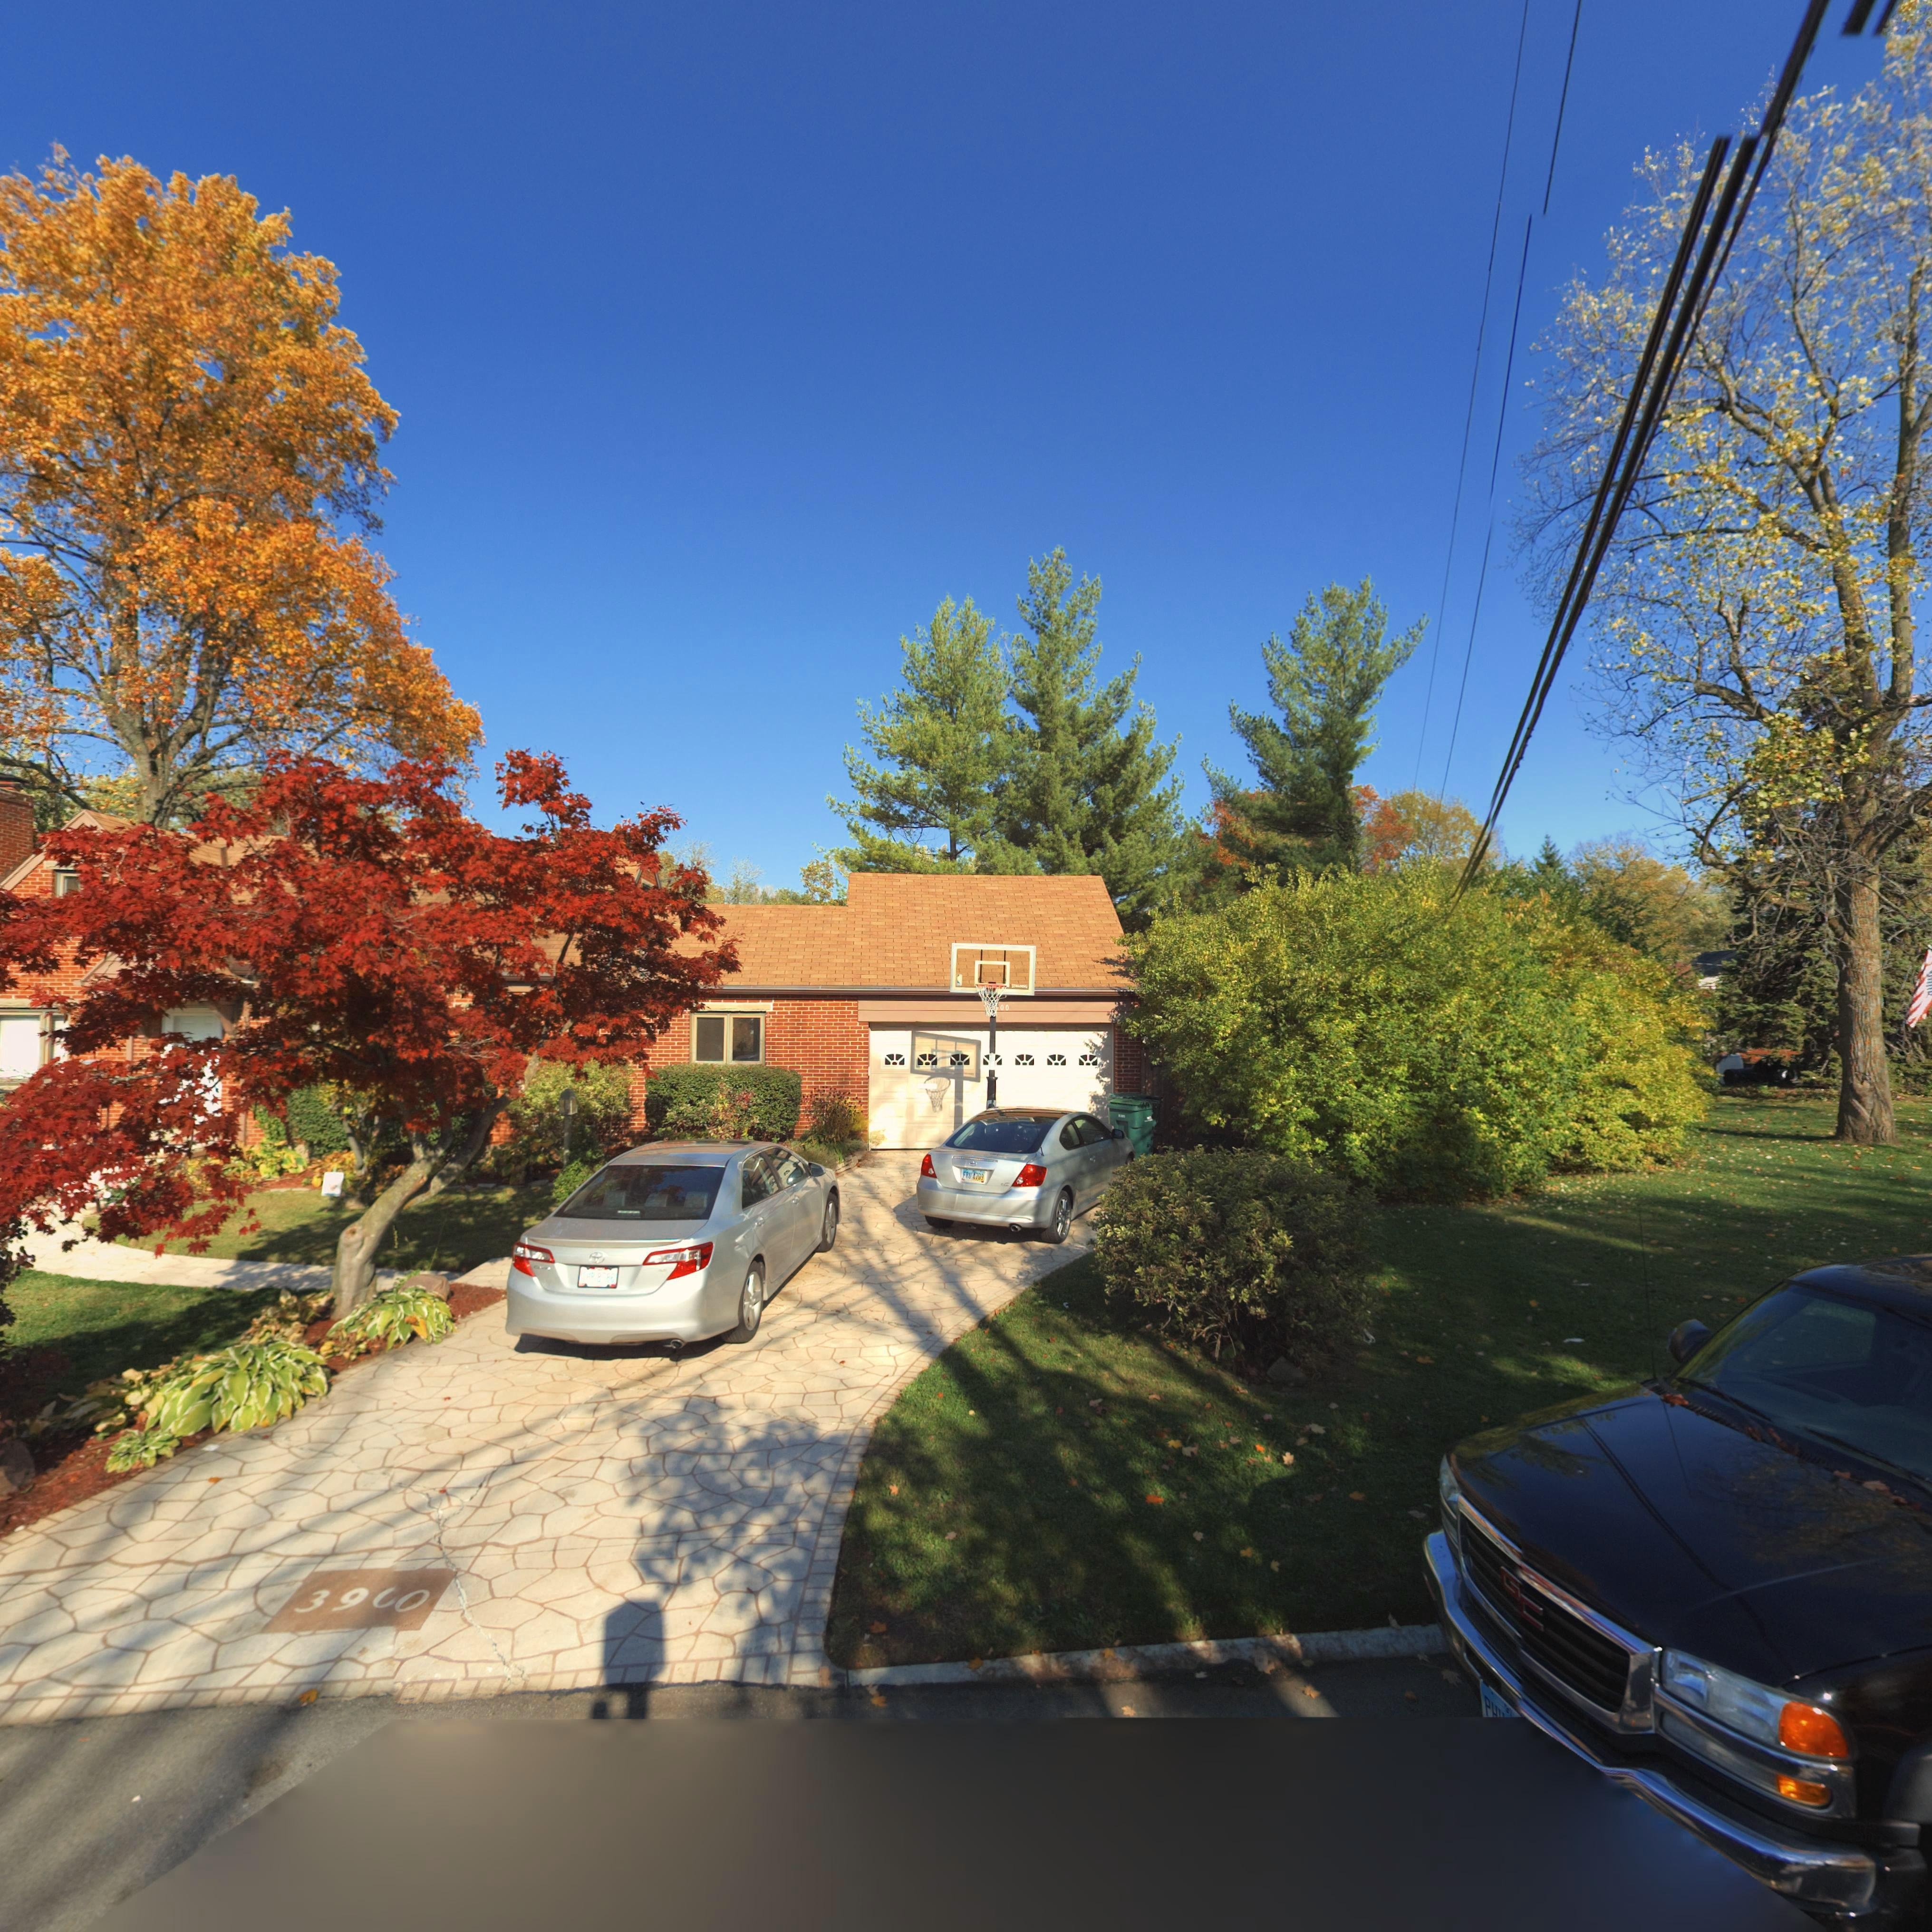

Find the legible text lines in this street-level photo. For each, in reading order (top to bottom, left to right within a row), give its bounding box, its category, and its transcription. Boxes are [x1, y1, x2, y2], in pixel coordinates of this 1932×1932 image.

[999, 1003, 1010, 1012] StreetNumber: 00
[289, 1584, 435, 1616] StreetNumber: 39*0